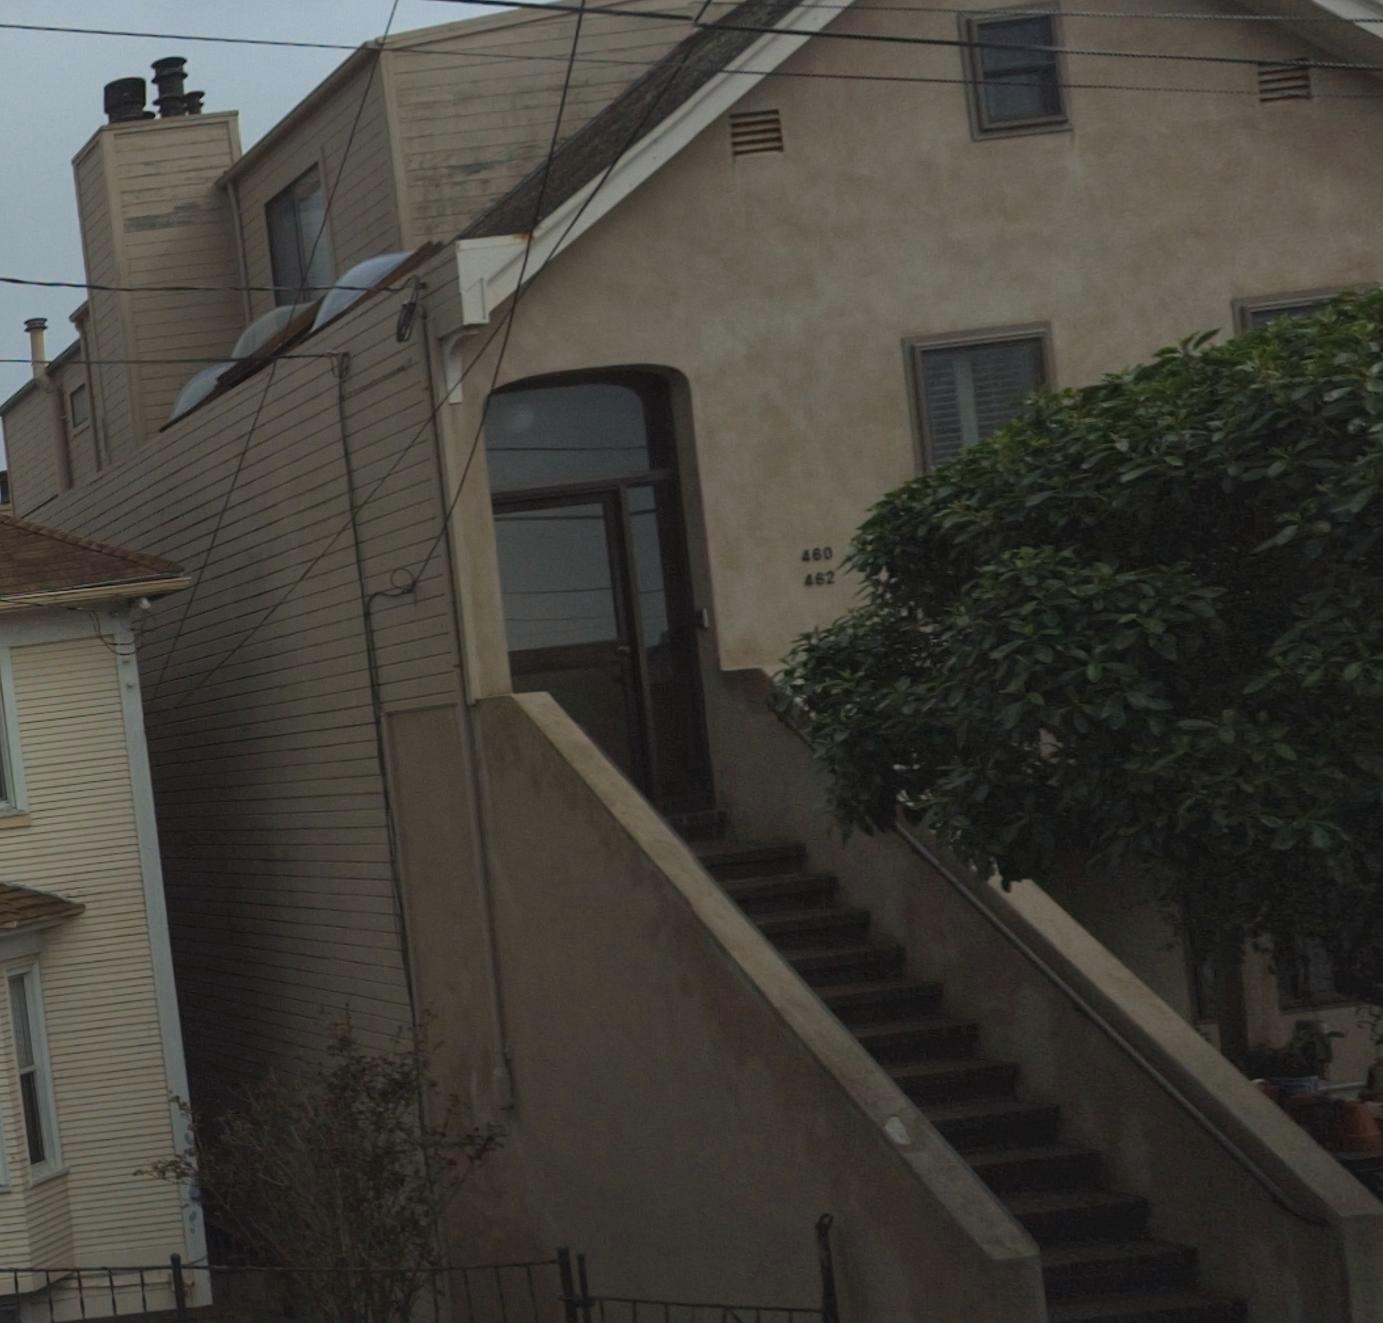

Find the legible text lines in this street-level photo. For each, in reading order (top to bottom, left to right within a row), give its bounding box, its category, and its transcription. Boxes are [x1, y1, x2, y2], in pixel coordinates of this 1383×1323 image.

[801, 545, 835, 565] StreetNumber: 460
[803, 569, 836, 589] StreetNumber: 462